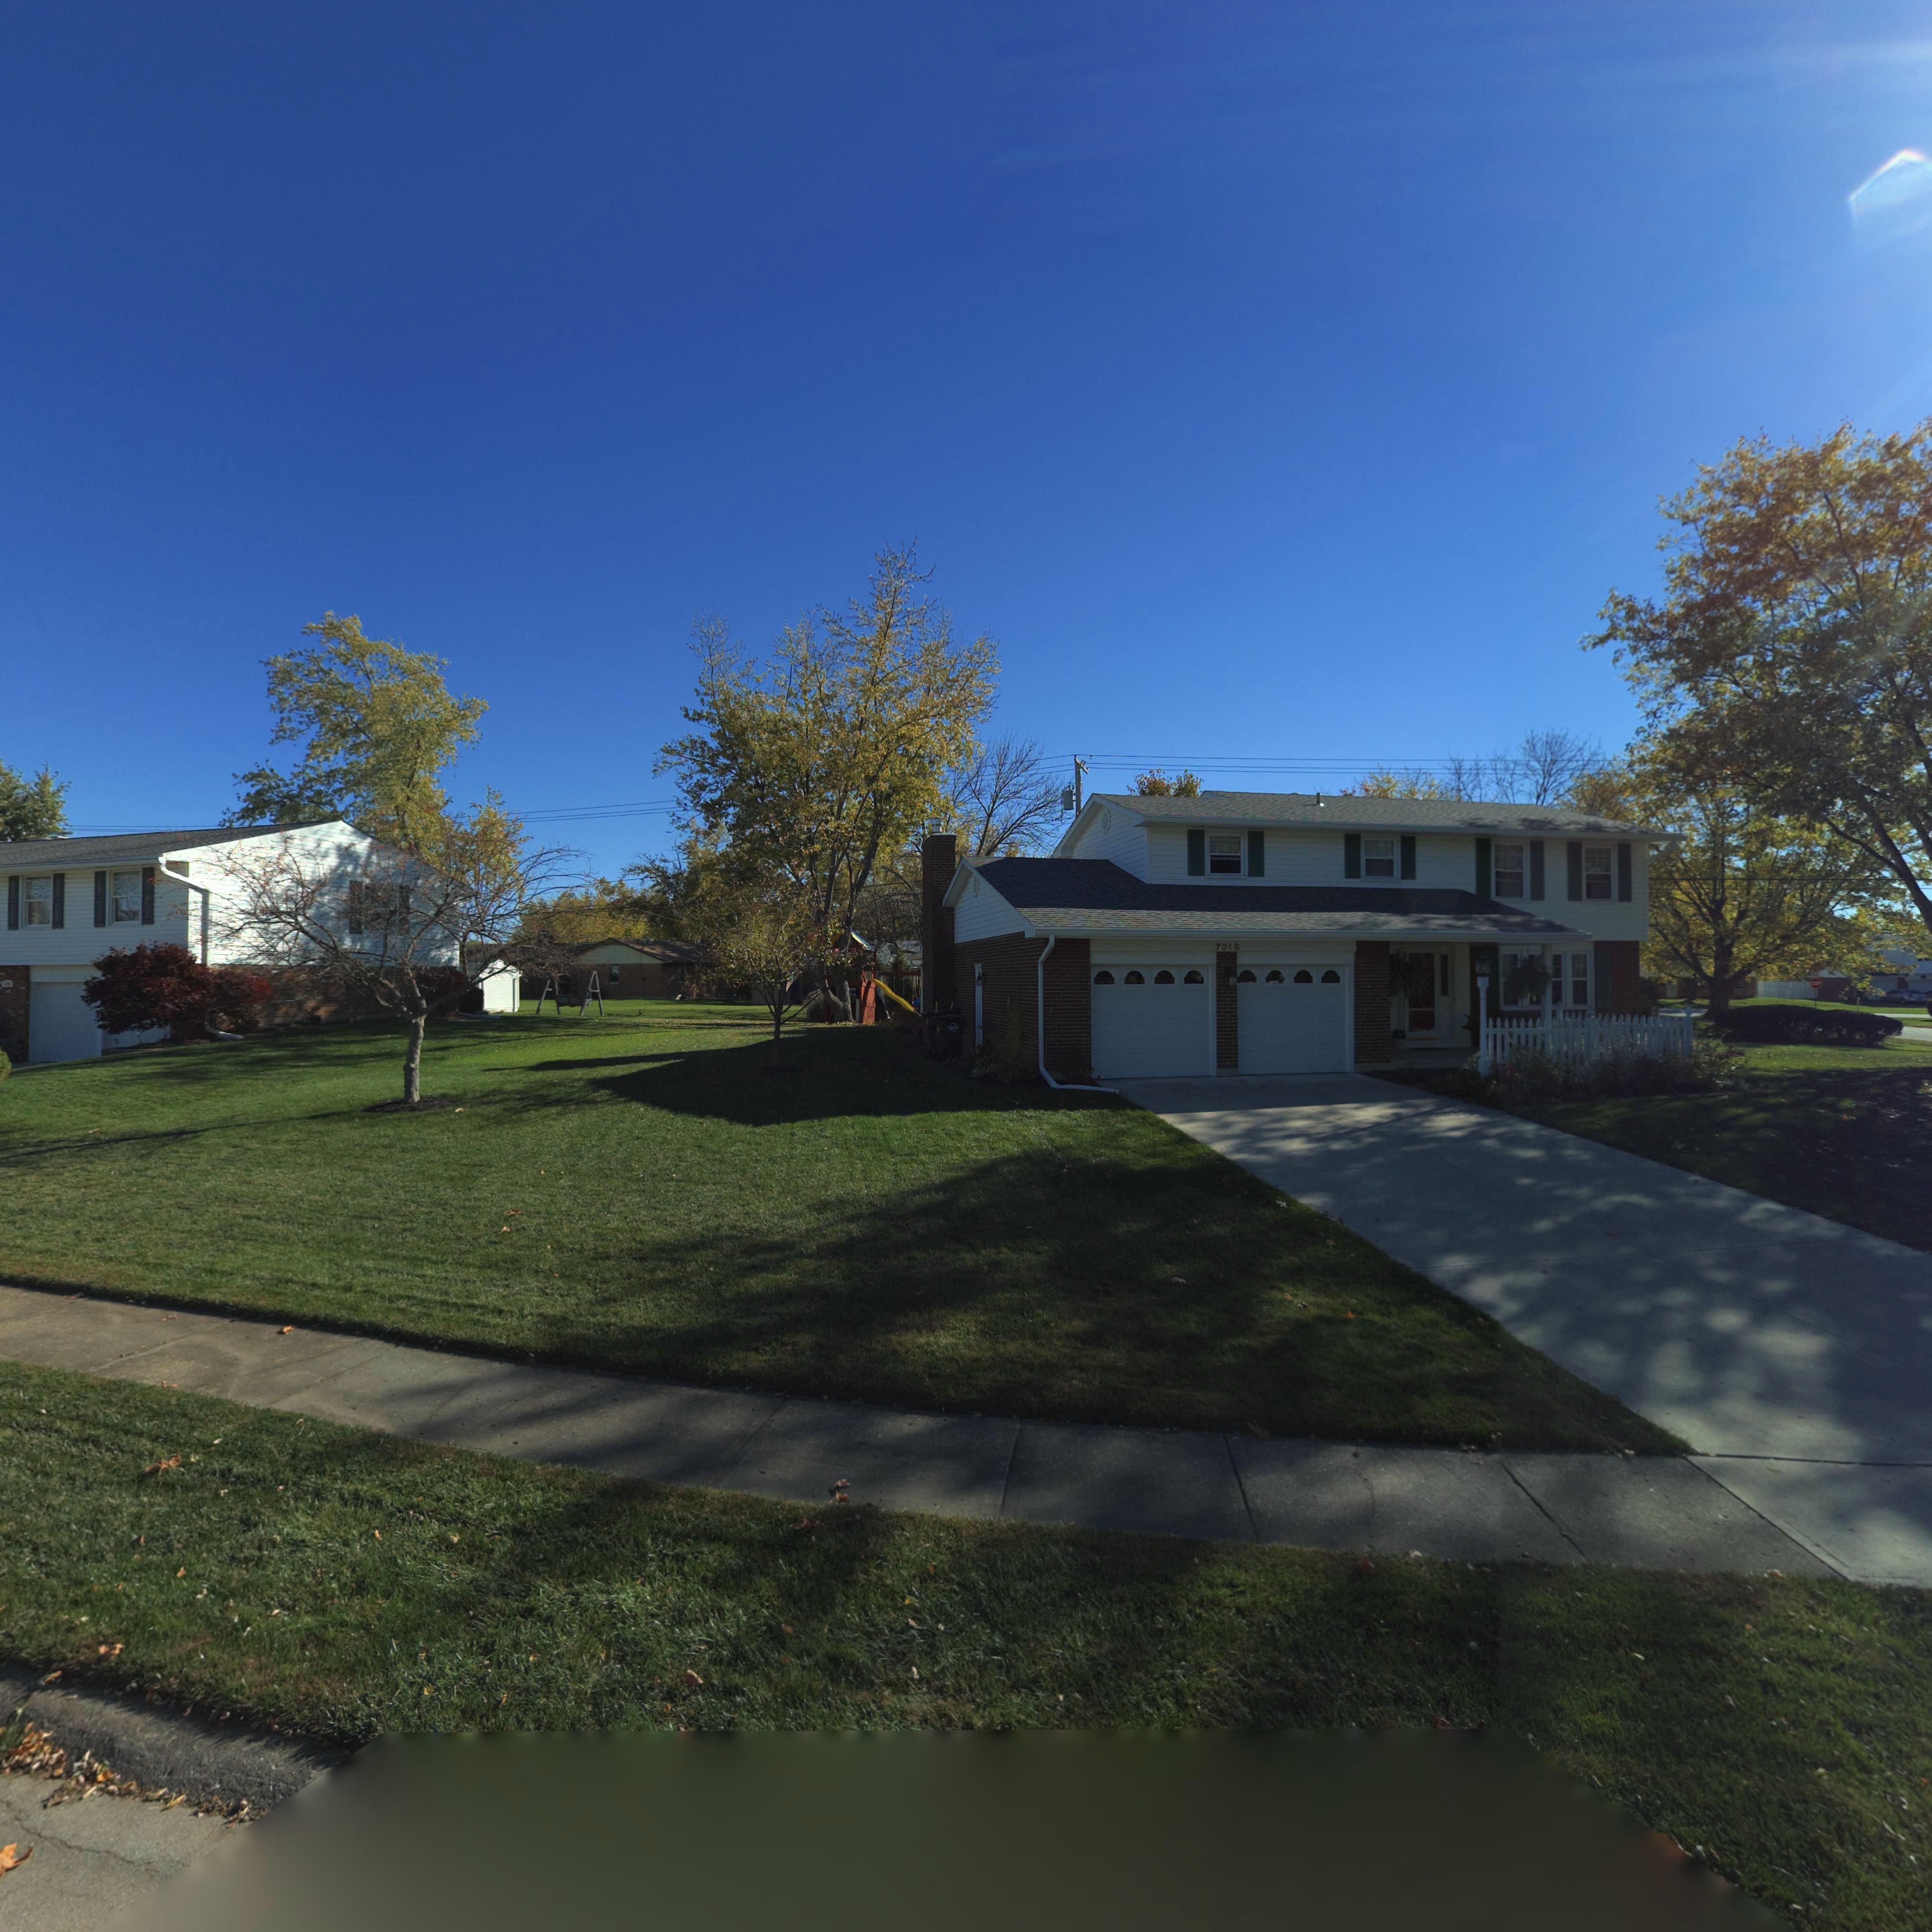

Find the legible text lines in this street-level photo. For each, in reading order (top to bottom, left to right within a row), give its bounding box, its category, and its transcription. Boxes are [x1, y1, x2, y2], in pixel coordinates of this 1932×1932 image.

[1215, 942, 1240, 952] StreetNumber: 7018